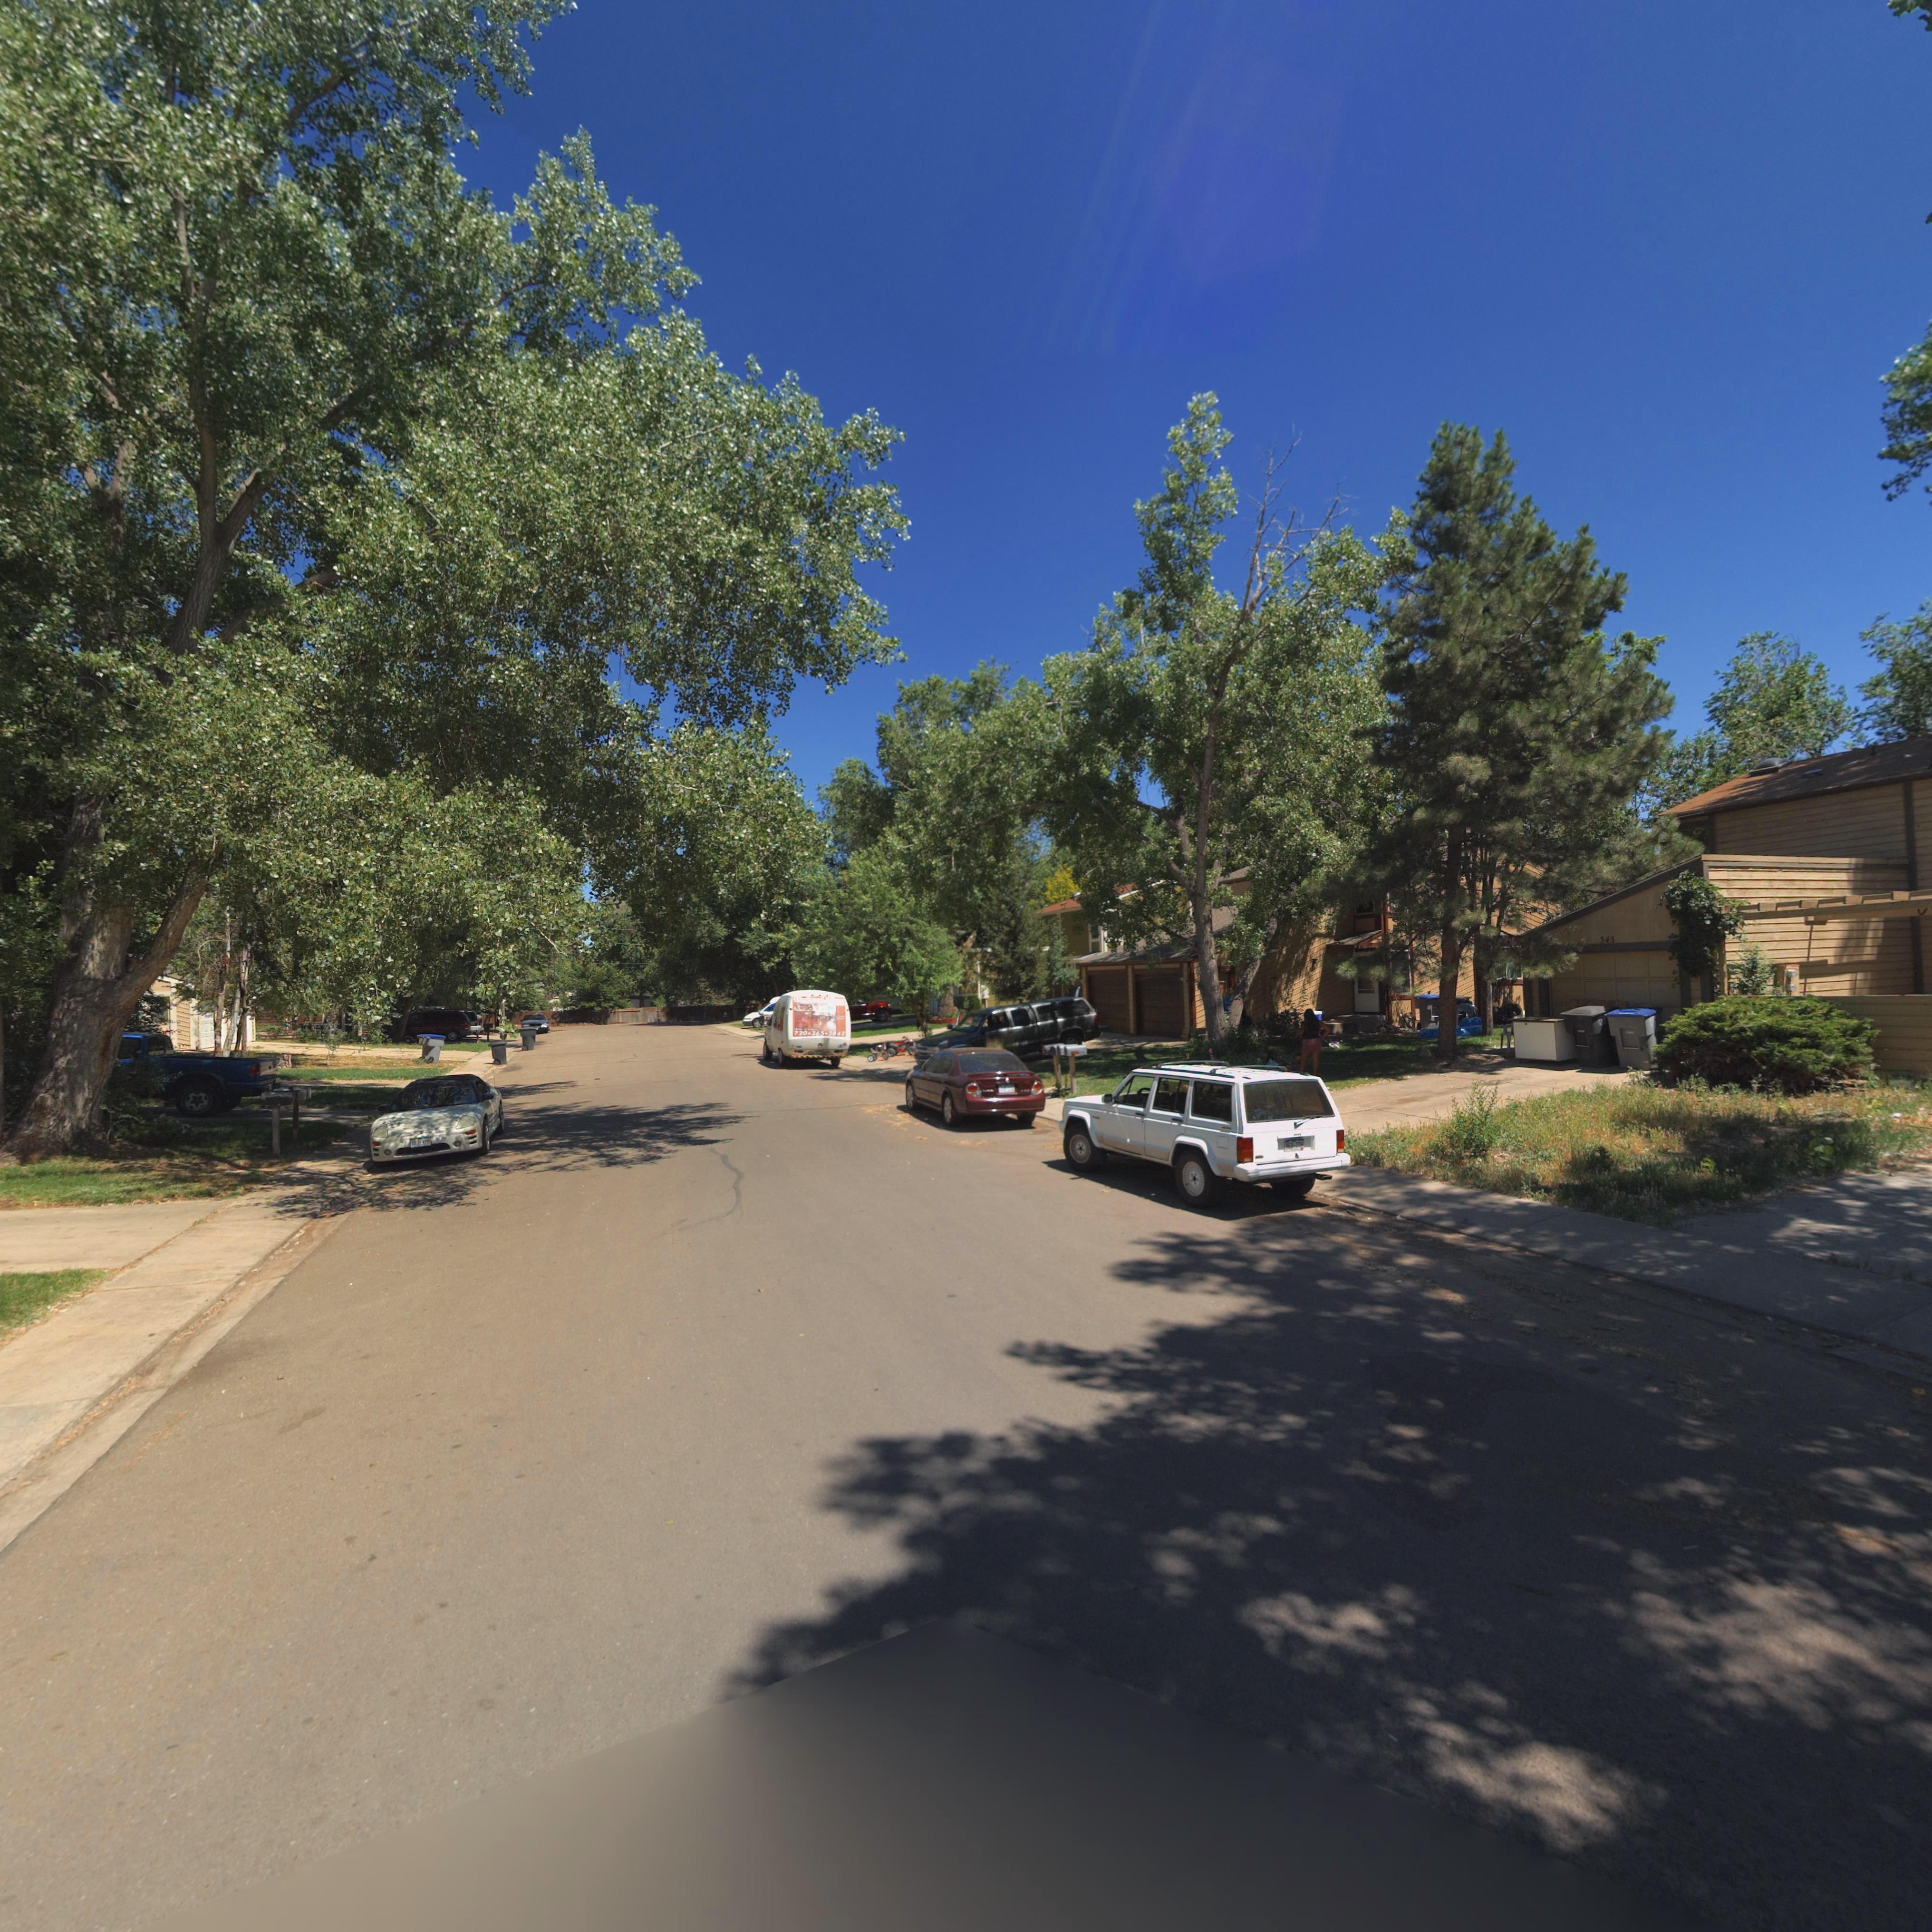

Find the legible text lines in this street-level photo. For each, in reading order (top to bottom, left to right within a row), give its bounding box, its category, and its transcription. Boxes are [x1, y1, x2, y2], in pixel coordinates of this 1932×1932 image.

[1599, 935, 1615, 944] StreetNumber: 345